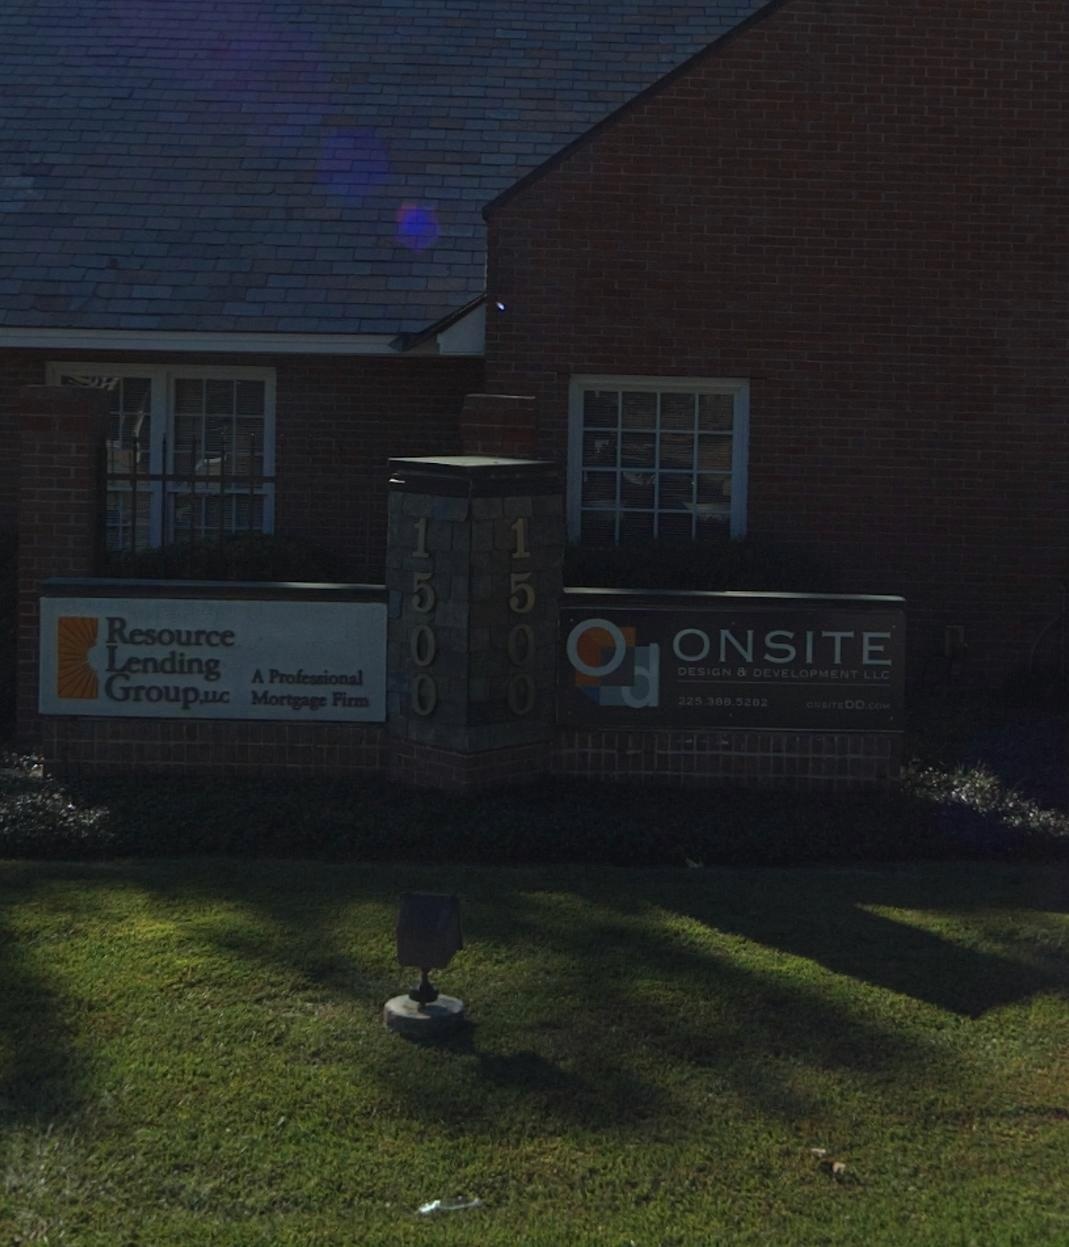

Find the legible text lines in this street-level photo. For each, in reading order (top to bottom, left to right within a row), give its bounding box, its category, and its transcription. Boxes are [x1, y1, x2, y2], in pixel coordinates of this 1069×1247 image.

[103, 644, 223, 683] BusinessName: Lending
[102, 673, 233, 712] BusinessName: Group, LLC
[103, 614, 238, 648] BusinessName: Resource
[249, 666, 365, 686] None: A Professional
[249, 688, 371, 712] None: Mortgage Firm
[408, 515, 440, 719] StreetNumber: 1500
[503, 514, 538, 719] StreetNumber: 1500
[677, 696, 770, 708] None: 225.3**.52*2
[670, 626, 893, 667] BusinessName: ONSITE
[677, 665, 891, 680] BusinessName: DESIGN & DEVELOPMENT LLC
[805, 699, 891, 710] None: ONSITEDO.COM